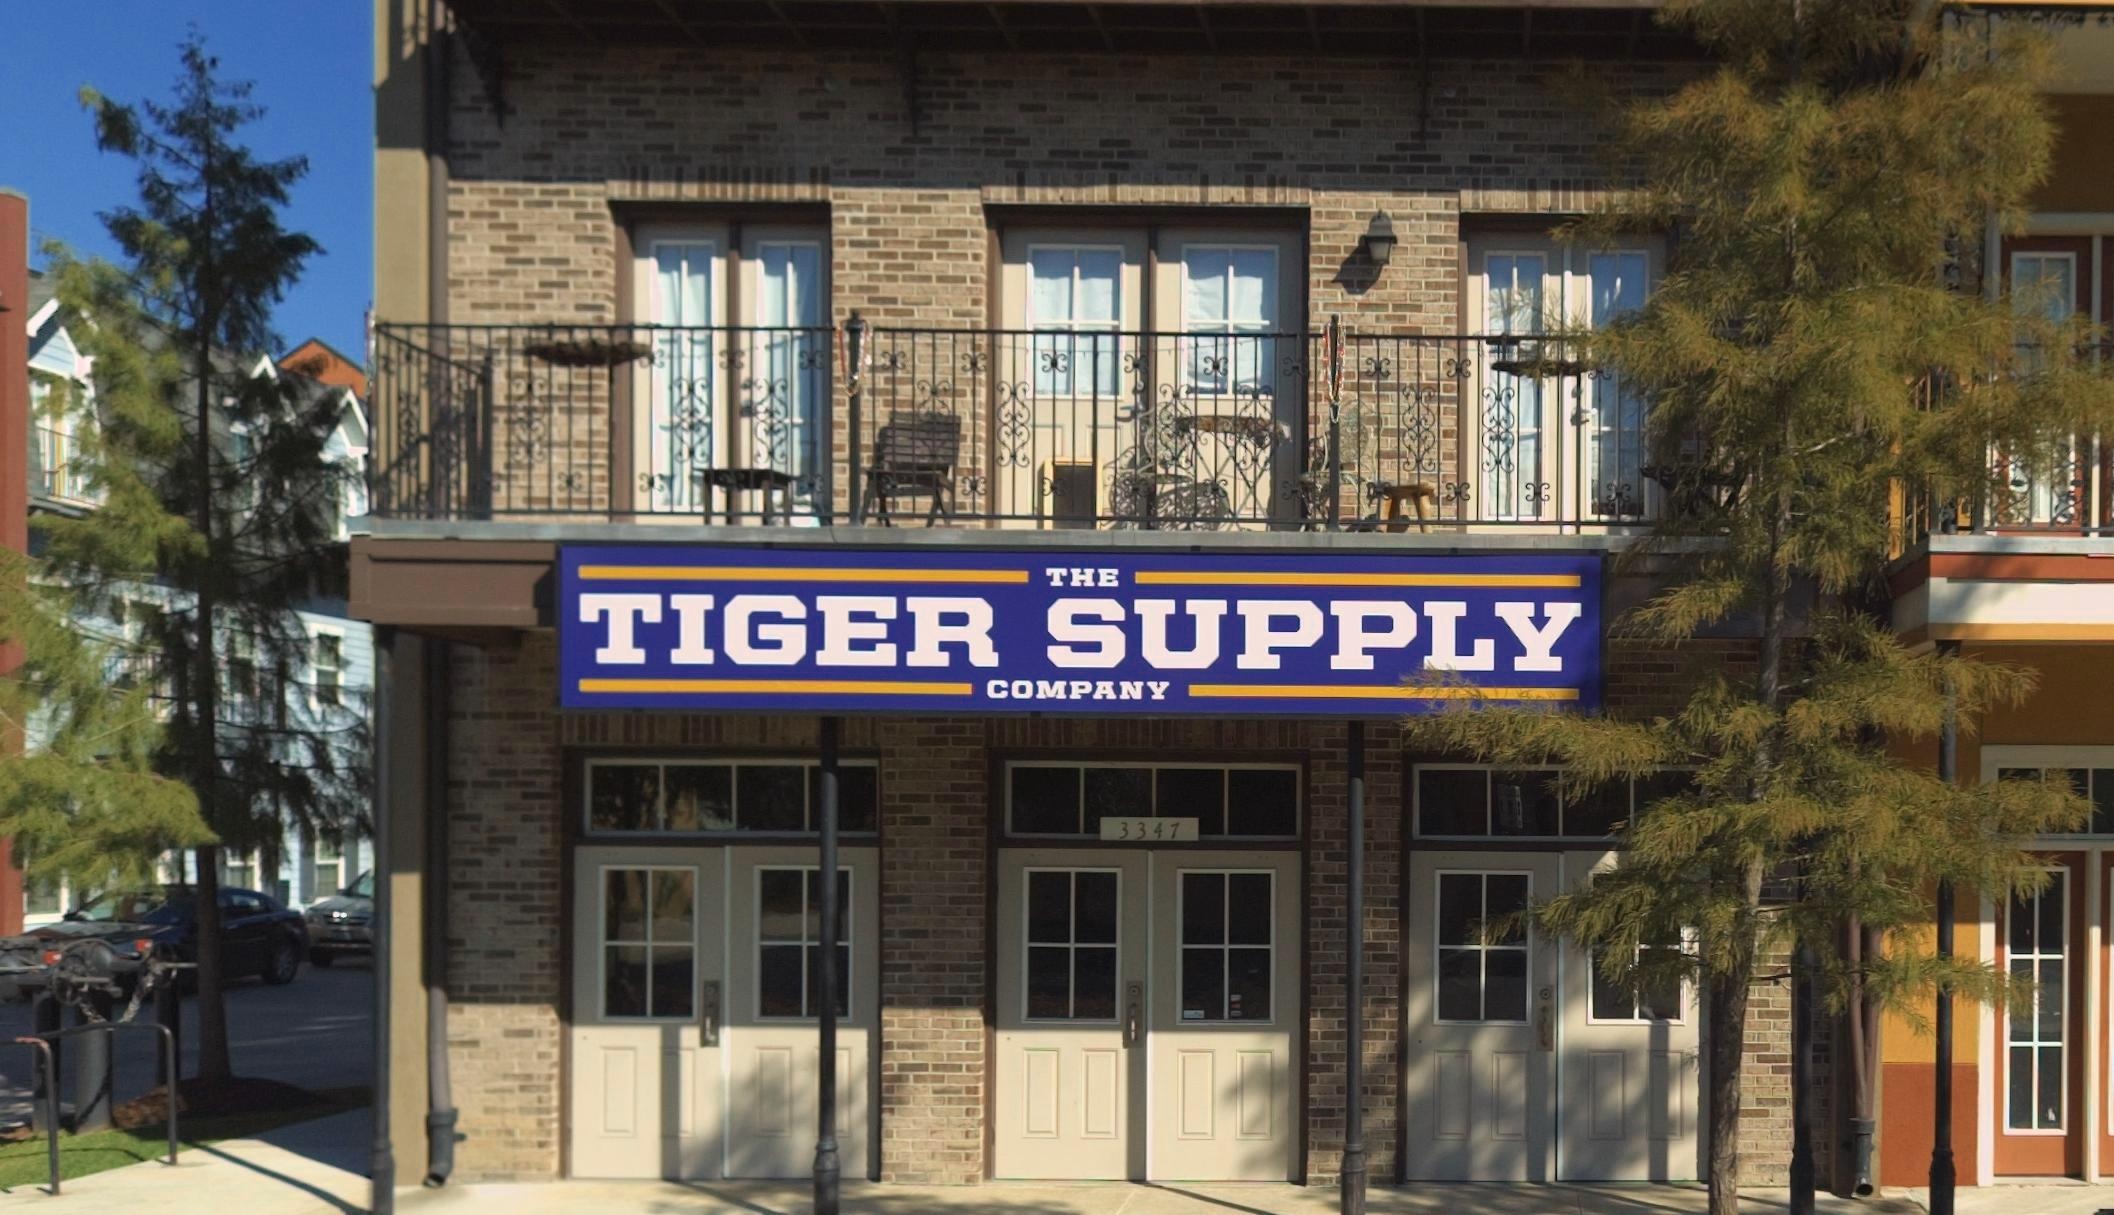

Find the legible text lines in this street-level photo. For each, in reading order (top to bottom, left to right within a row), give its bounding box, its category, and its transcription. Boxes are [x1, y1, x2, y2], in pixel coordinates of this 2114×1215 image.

[1045, 566, 1120, 588] BusinessName: THE
[578, 590, 1584, 673] BusinessName: TIGER SUPPLY
[986, 679, 1171, 701] BusinessName: COMPANY
[1118, 820, 1181, 840] StreetNumber: 3347